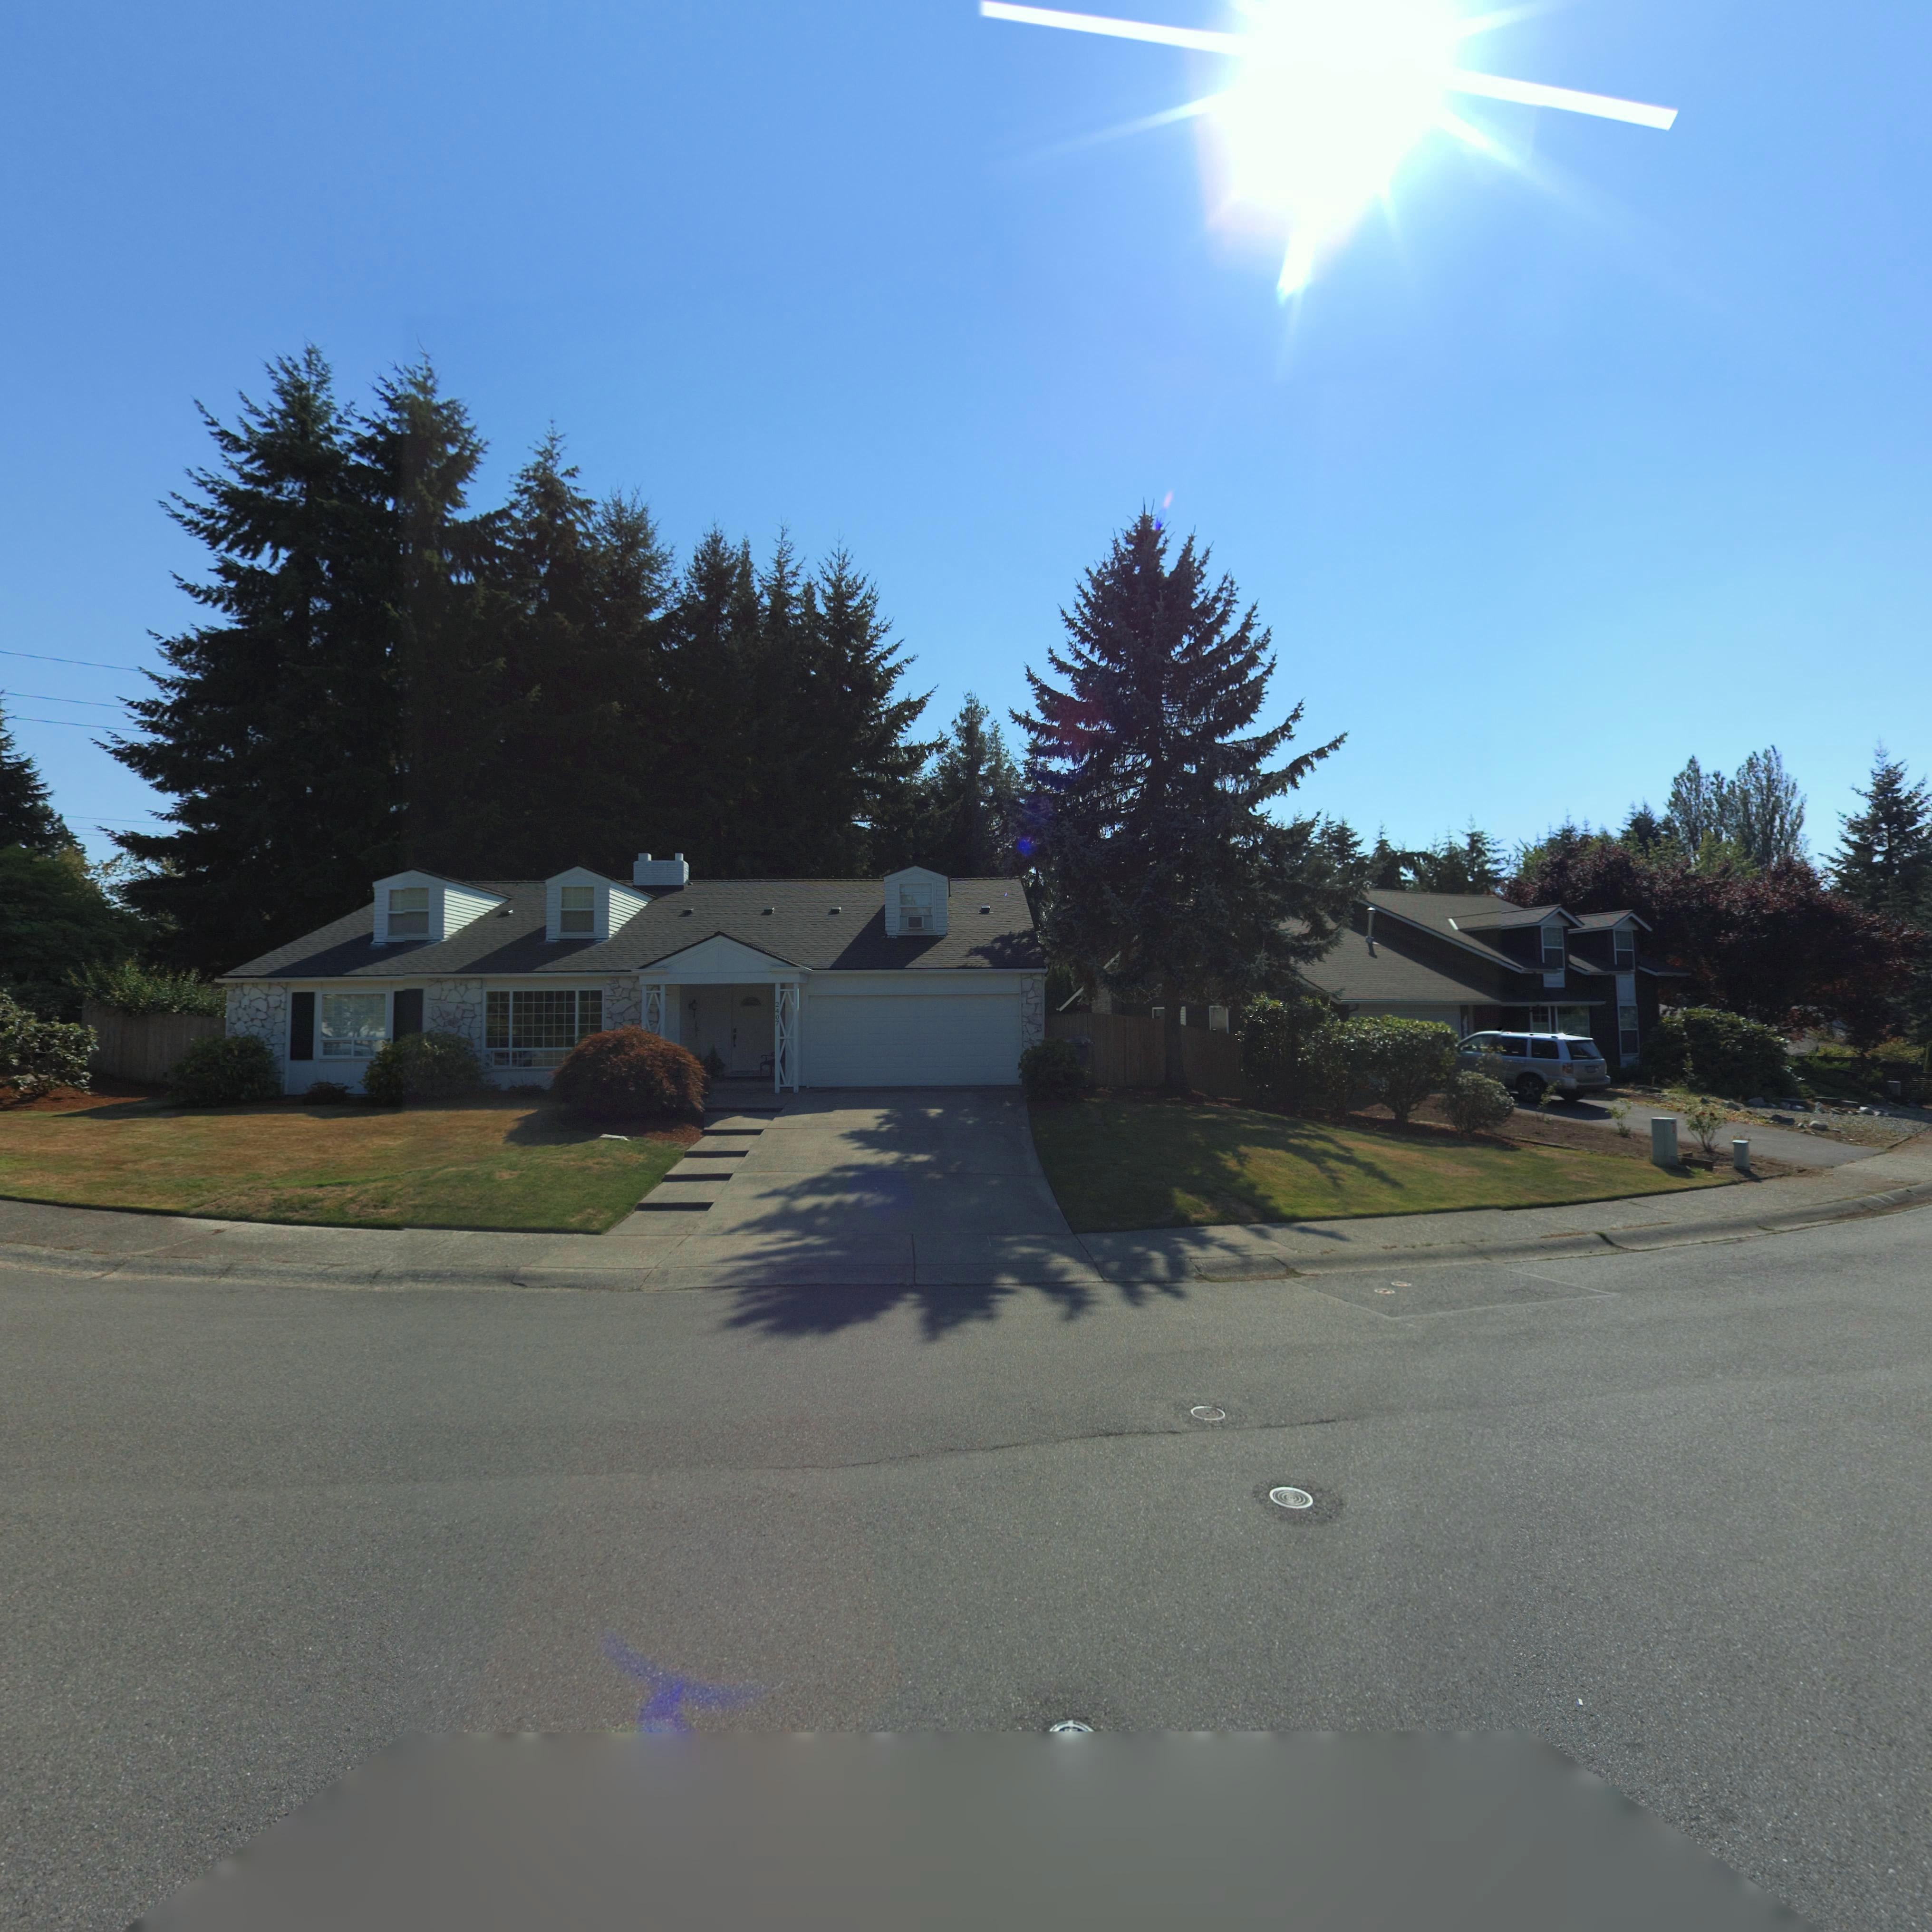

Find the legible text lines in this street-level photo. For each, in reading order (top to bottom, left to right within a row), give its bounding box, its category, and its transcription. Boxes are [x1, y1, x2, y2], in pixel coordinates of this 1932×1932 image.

[774, 1001, 780, 1026] StreetNumber: 2407